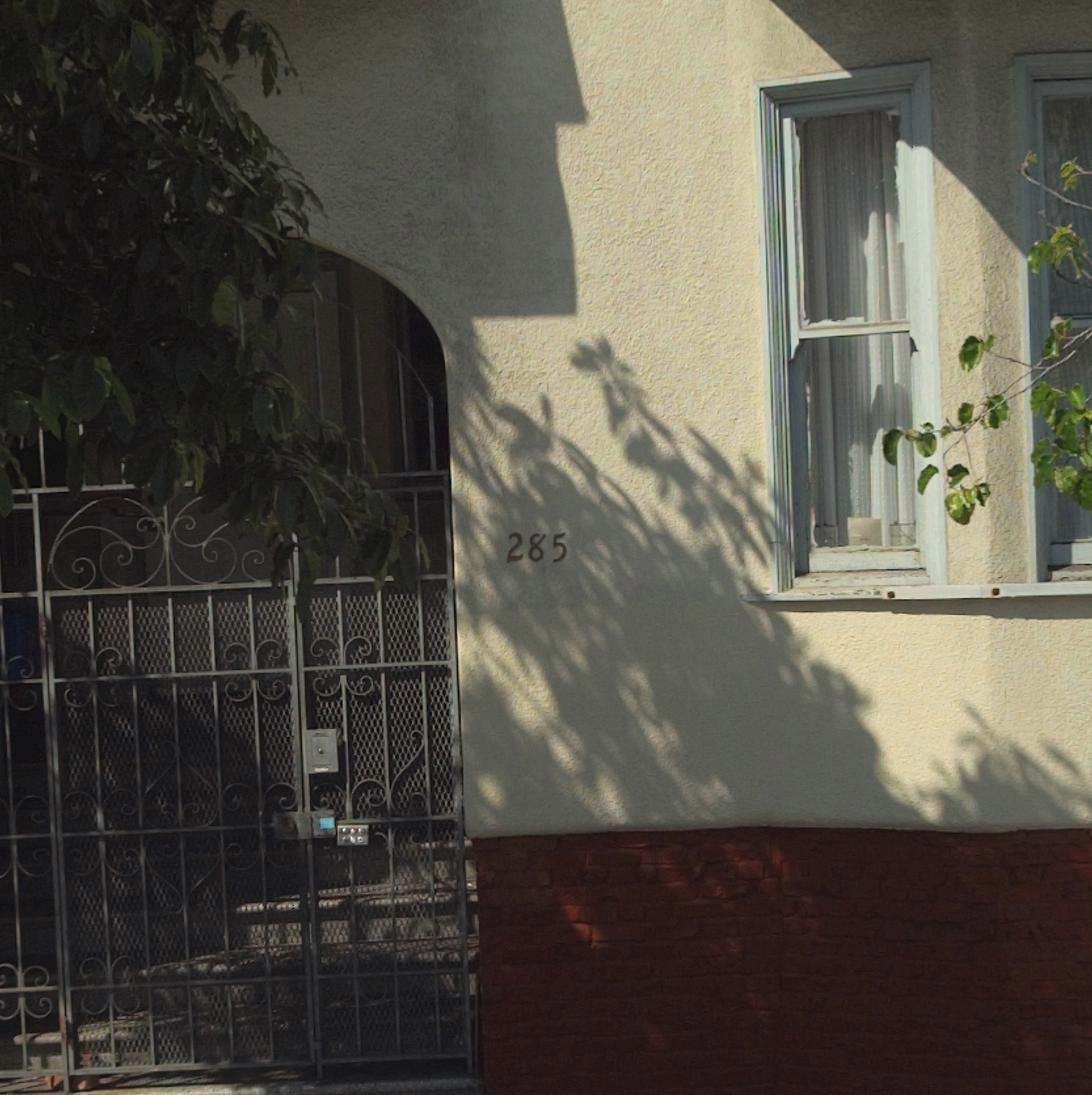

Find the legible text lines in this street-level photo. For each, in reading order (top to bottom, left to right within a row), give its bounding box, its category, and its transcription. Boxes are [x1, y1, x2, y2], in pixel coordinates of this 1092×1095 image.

[505, 531, 570, 562] StreetNumber: 285